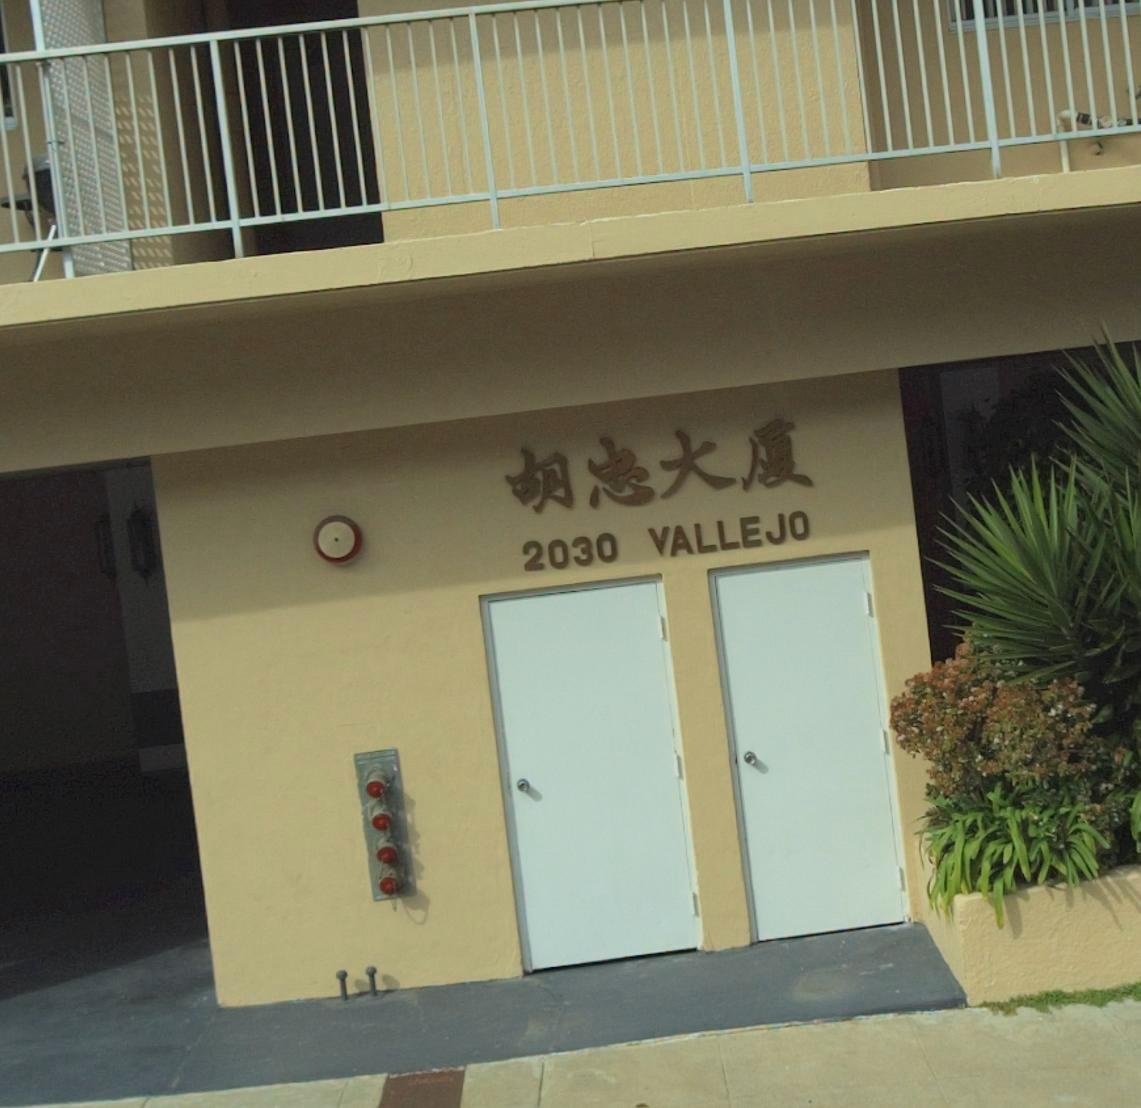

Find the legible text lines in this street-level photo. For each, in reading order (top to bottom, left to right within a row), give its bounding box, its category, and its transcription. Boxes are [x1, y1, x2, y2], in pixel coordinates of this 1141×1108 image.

[519, 530, 621, 574] StreetNumber: 2030
[642, 508, 812, 559] StreetName: VALLE JO